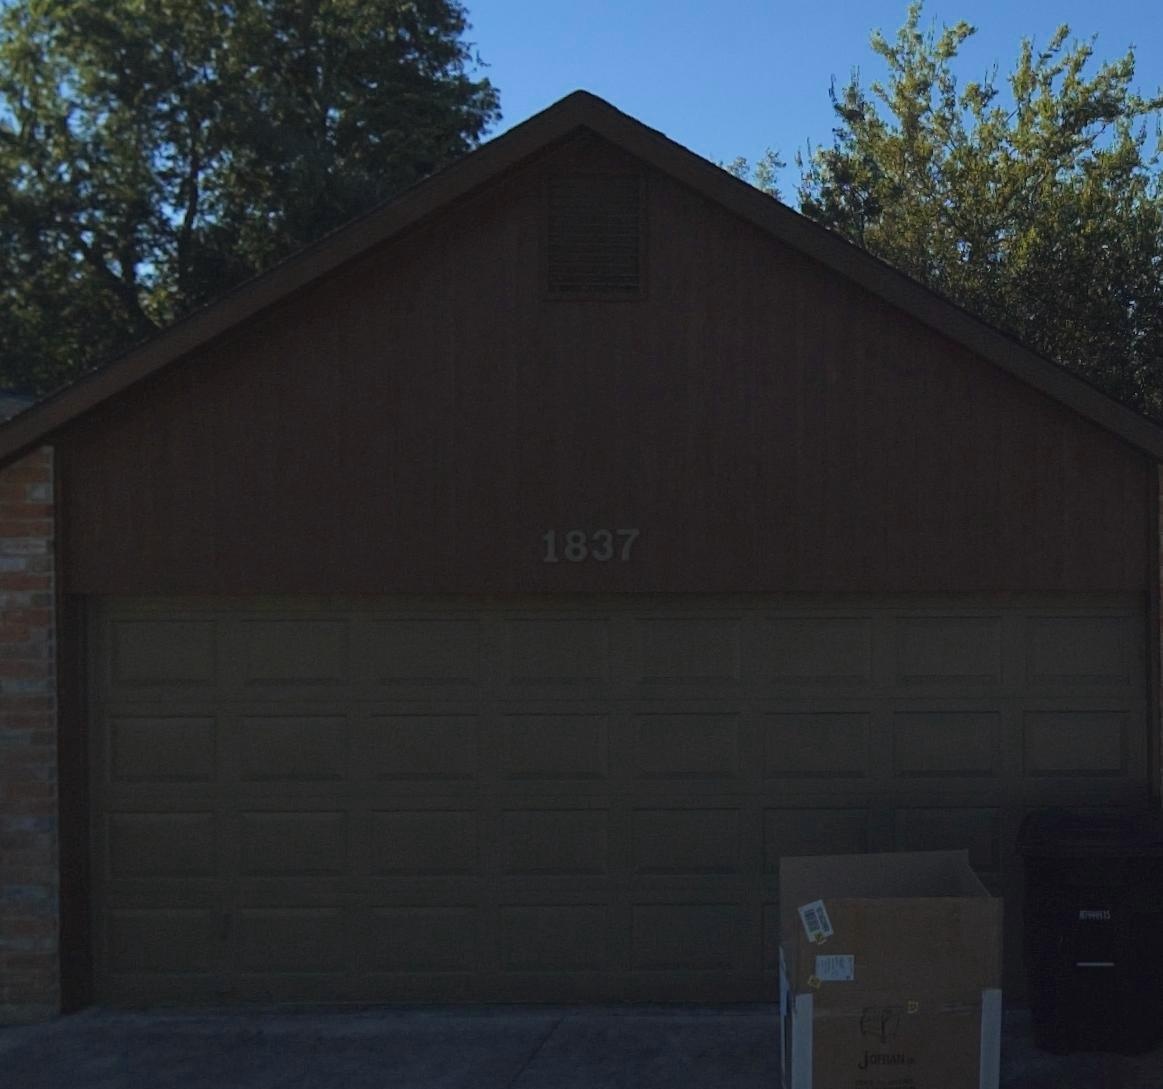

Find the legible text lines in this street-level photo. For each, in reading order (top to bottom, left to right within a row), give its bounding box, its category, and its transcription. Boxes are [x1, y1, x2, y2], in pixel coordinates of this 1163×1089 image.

[540, 525, 642, 566] StreetNumber: 1837
[852, 1048, 906, 1071] None: JORDAN